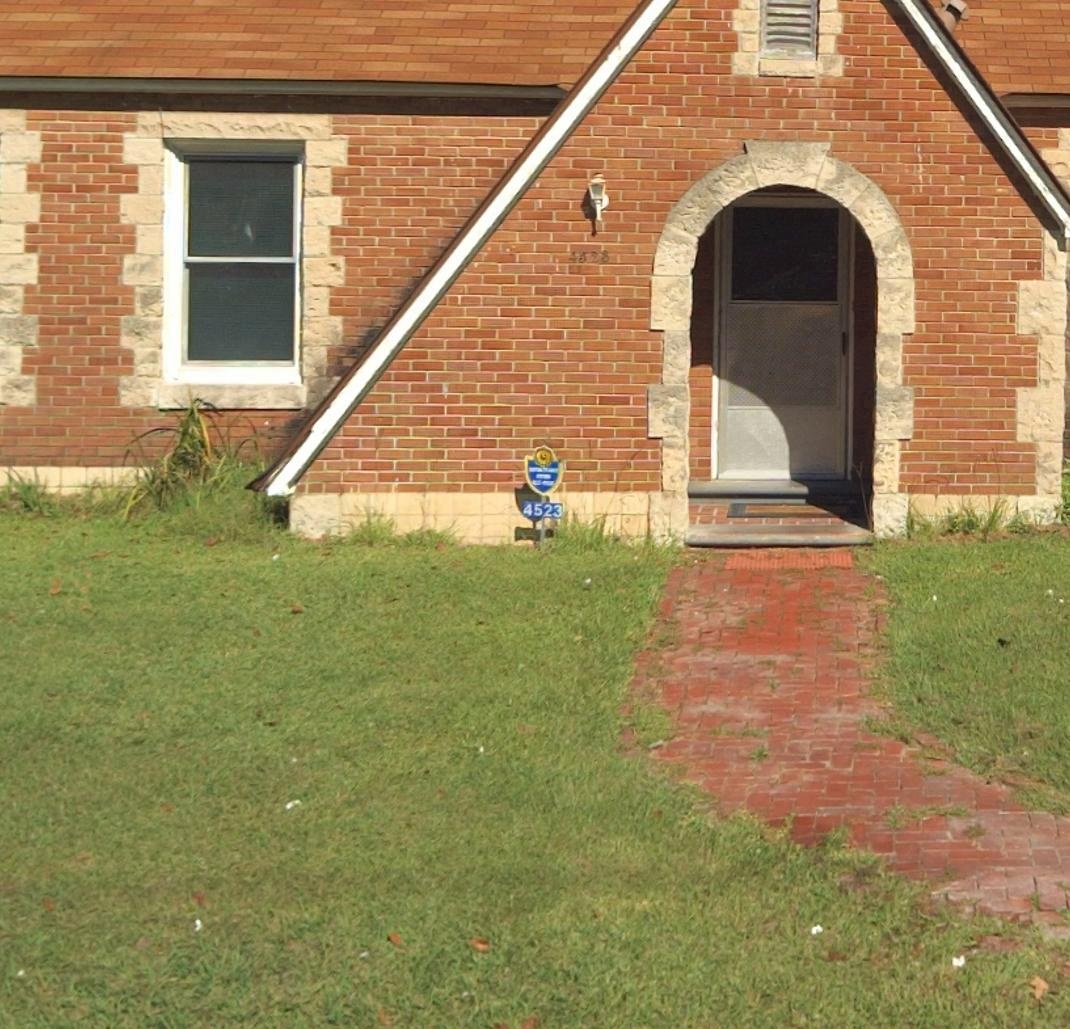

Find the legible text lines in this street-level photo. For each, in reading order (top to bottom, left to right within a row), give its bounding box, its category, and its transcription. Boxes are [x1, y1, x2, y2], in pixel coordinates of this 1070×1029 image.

[567, 249, 611, 264] StreetNumber: 4523
[523, 503, 562, 518] StreetNumber: 4523